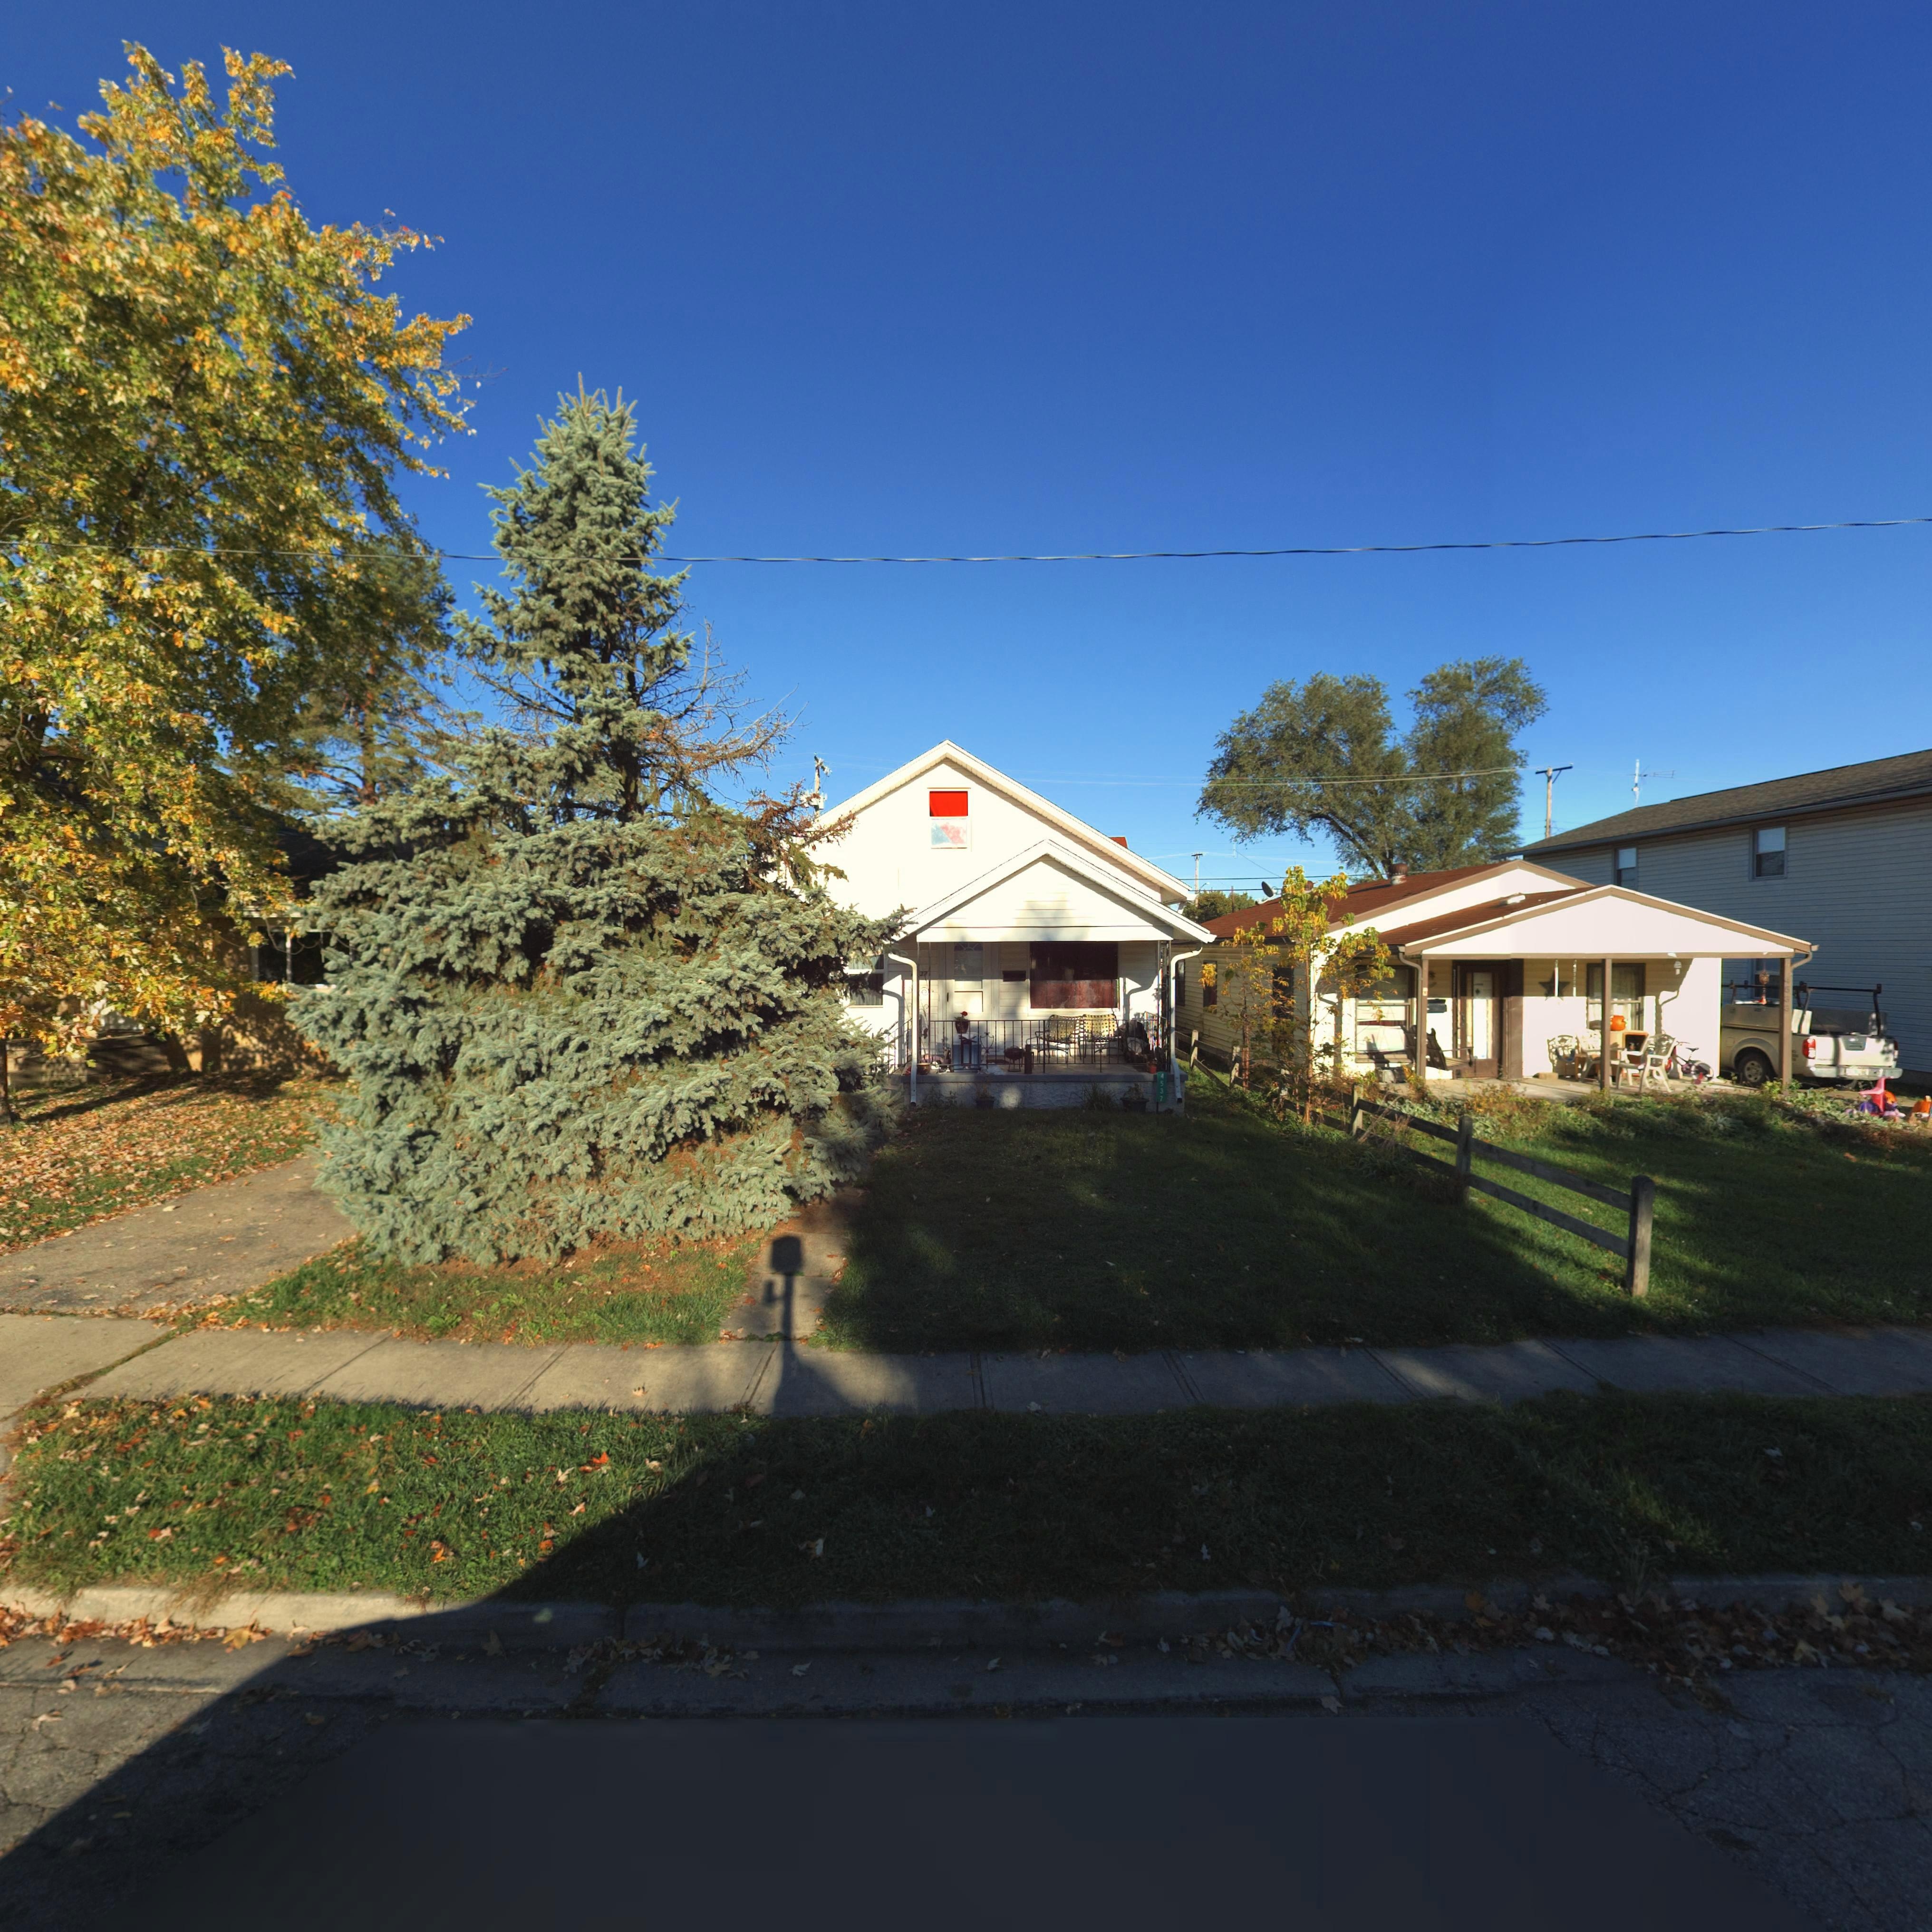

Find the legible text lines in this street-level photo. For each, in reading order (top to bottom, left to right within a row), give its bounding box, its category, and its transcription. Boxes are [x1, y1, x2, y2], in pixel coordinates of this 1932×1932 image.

[919, 971, 928, 976] StreetNumber: 37